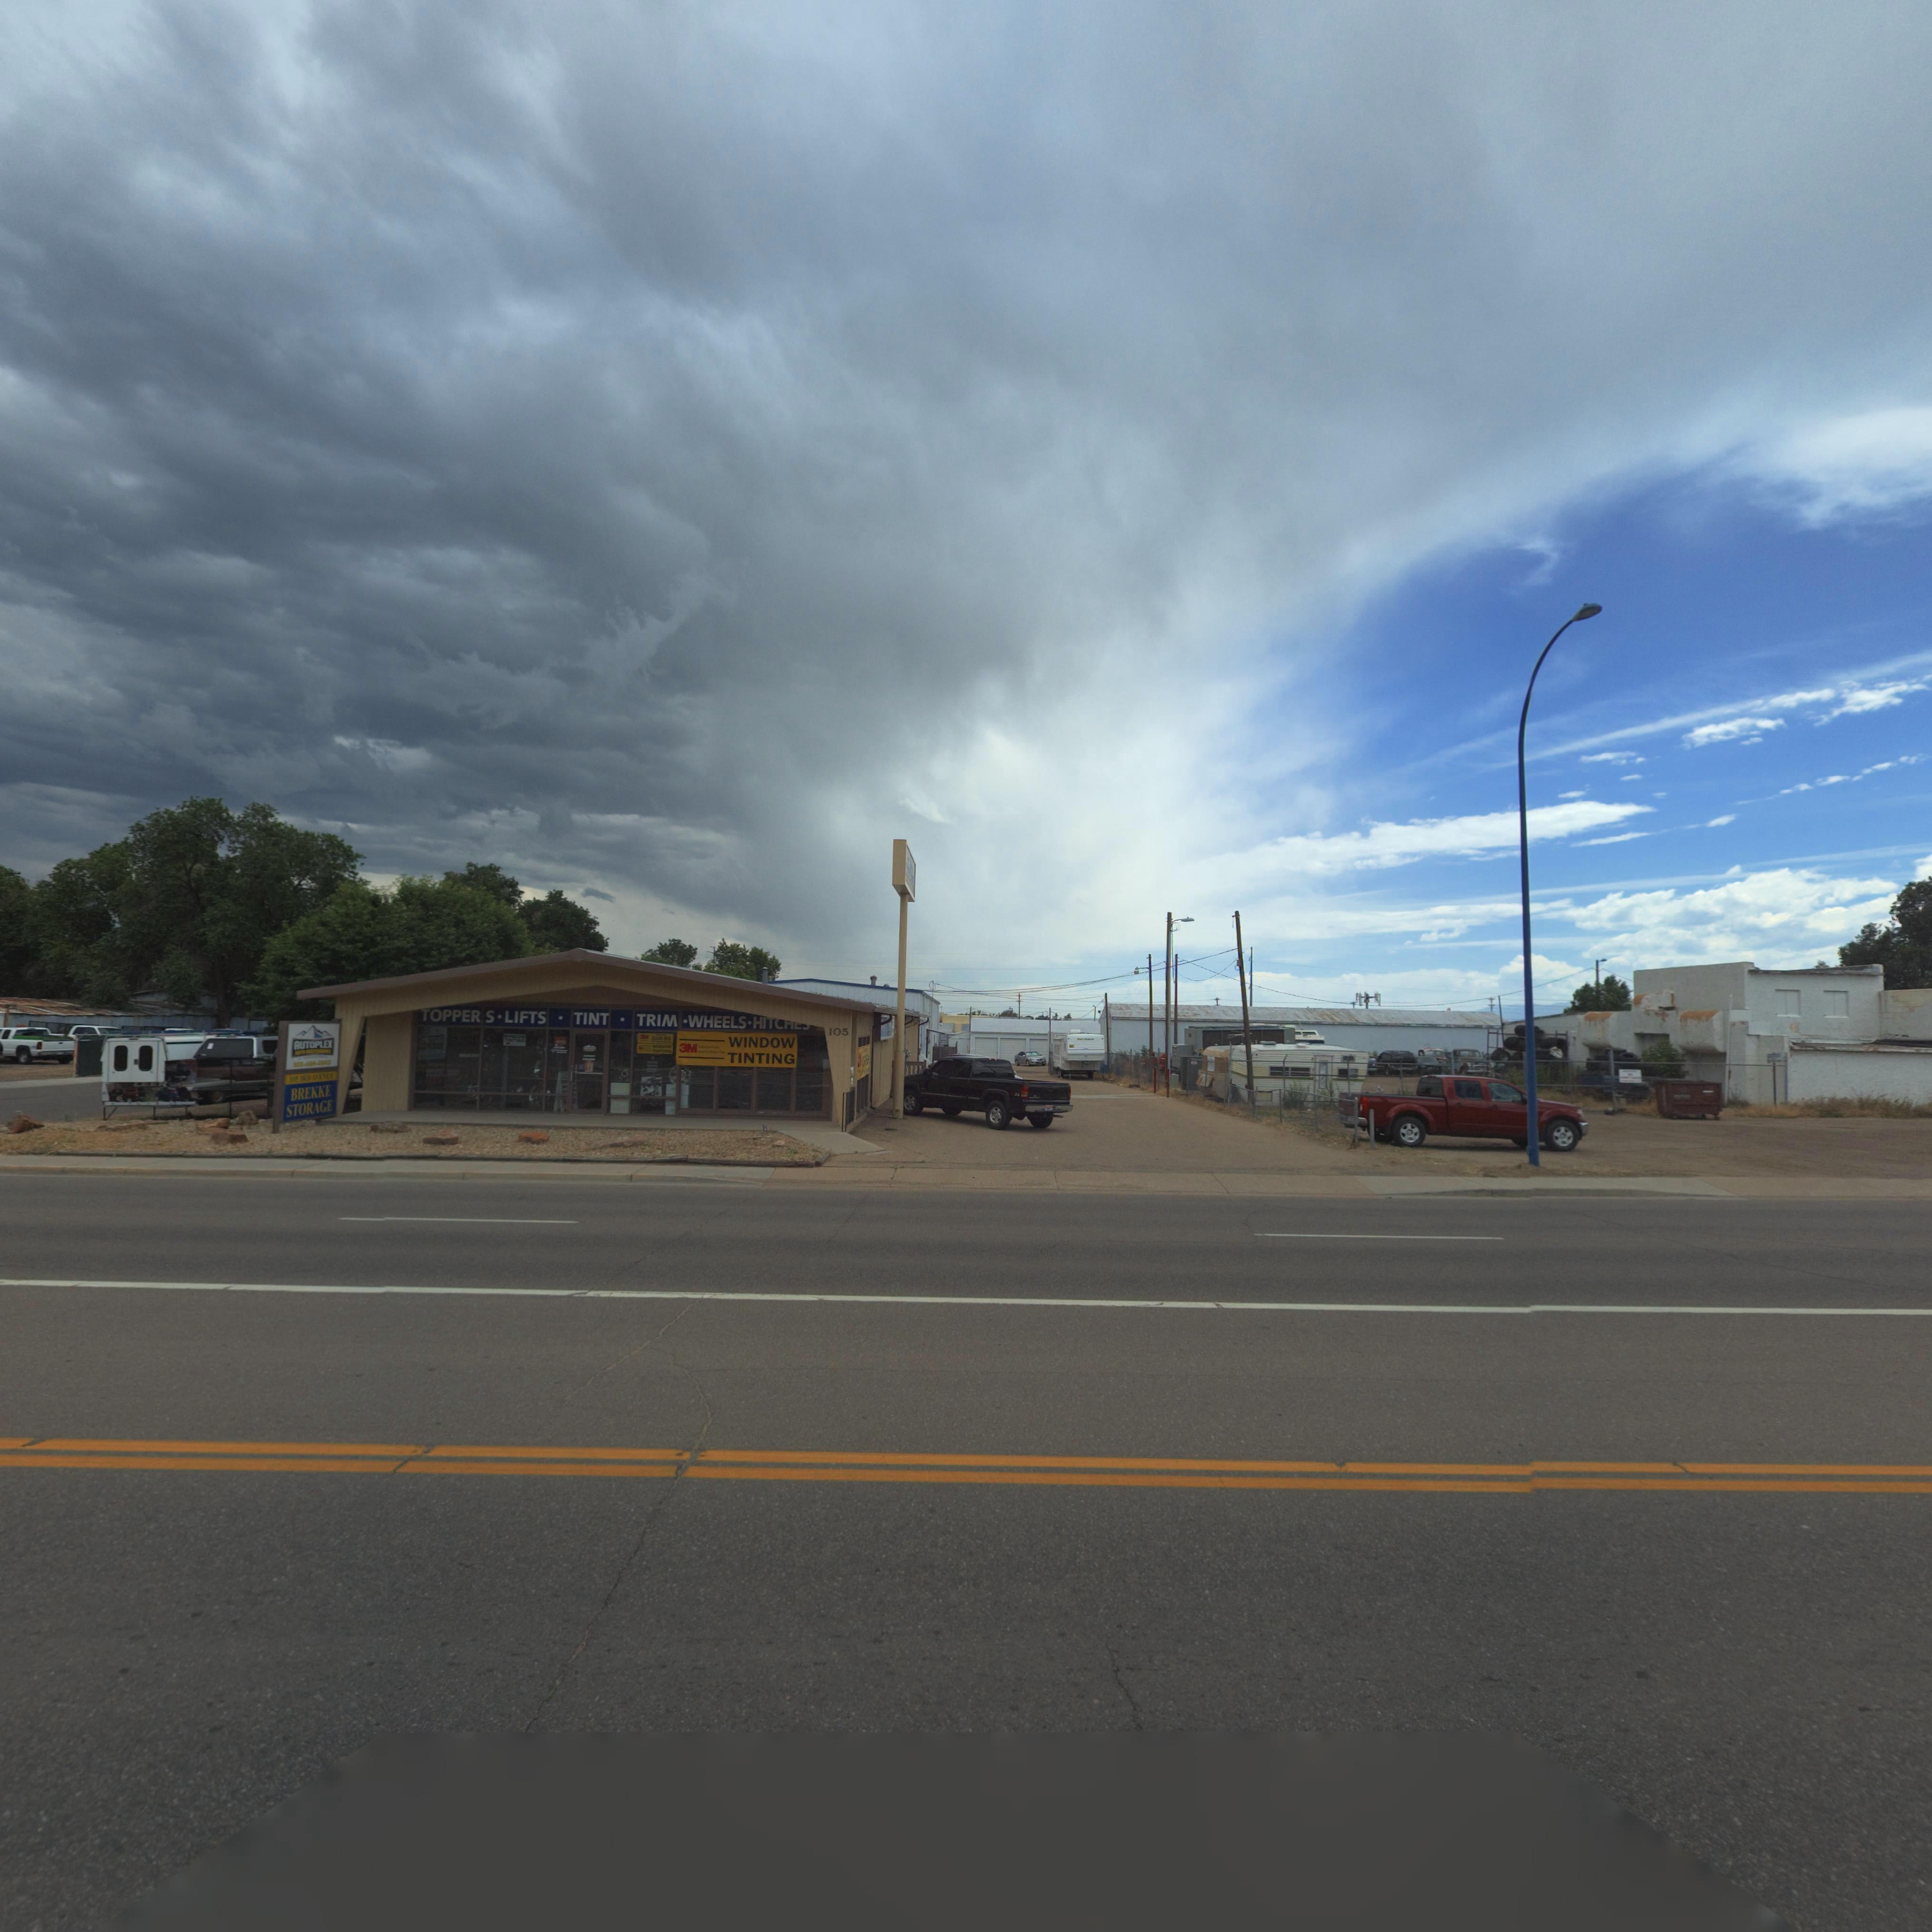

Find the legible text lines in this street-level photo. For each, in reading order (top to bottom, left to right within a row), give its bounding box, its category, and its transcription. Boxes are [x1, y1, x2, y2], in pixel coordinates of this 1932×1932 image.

[828, 1027, 849, 1036] StreetNumber: 105
[294, 1039, 332, 1051] BusinessName: AUTOPLEX
[294, 1048, 330, 1056] BusinessName: AUTO ACCESSORIES
[290, 1084, 331, 1101] BusinessName: BREKKE
[285, 1099, 332, 1118] BusinessName: STORAGE